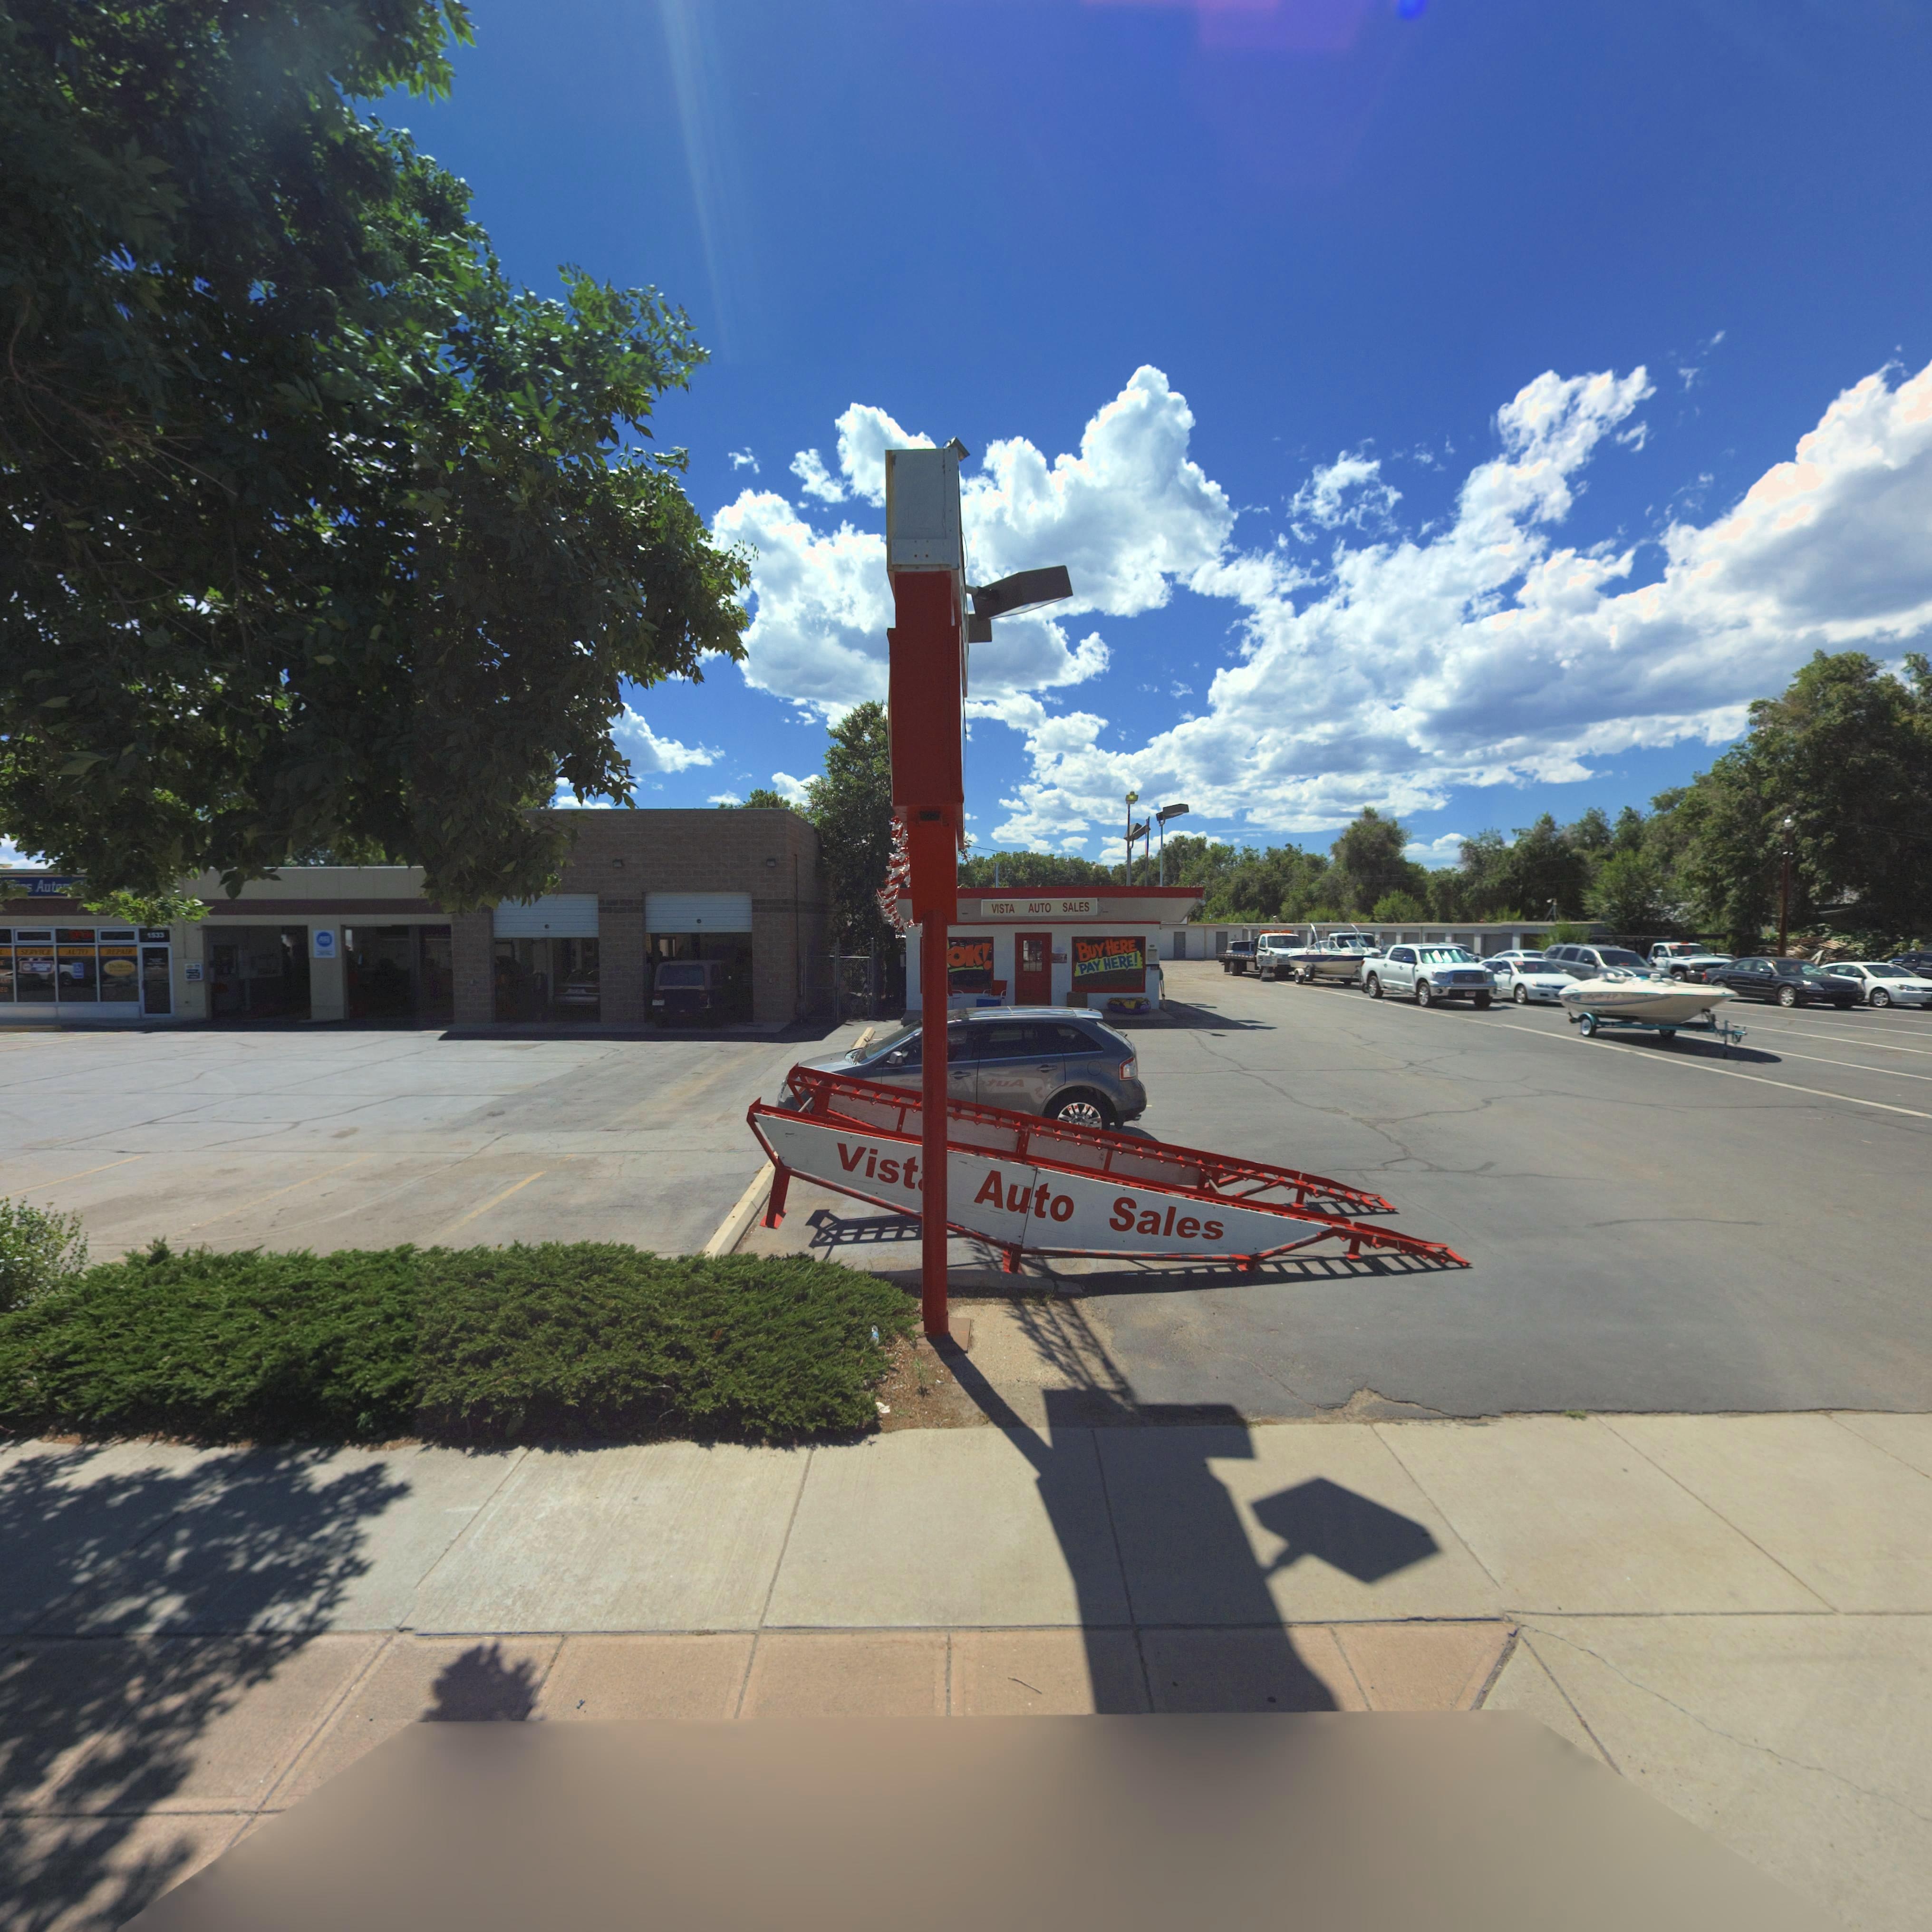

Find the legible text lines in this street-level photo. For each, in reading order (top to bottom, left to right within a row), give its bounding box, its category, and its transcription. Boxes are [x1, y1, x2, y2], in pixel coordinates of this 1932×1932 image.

[24, 883, 33, 892] BusinessName: s
[34, 879, 63, 892] BusinessName: Auto
[991, 901, 1090, 913] BusinessName: VISTA AUTO SALES
[146, 932, 164, 938] StreetNumber: 1533
[108, 963, 132, 968] BusinessName: DeMers
[837, 1139, 1226, 1240] BusinessName: Vist* Auto Sales